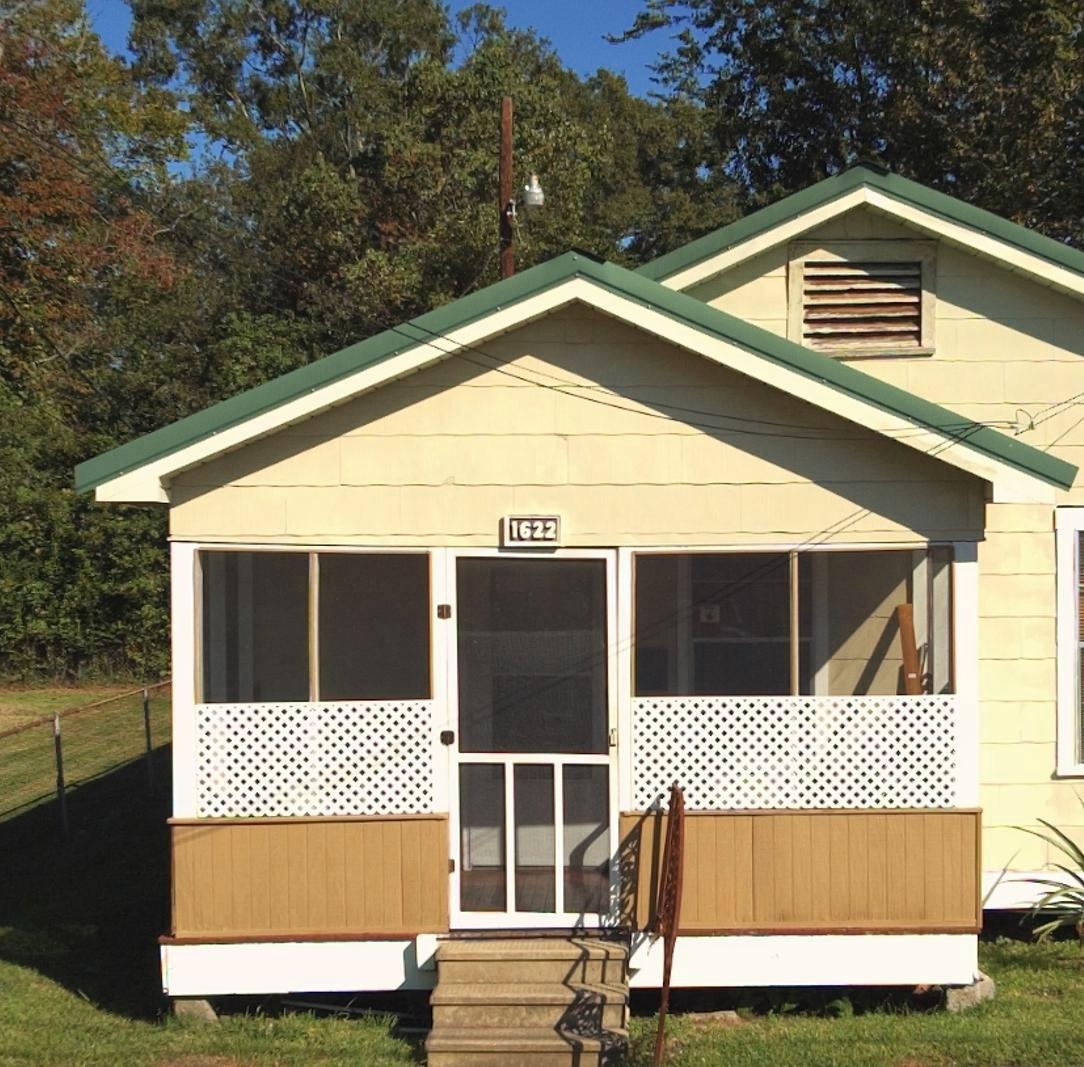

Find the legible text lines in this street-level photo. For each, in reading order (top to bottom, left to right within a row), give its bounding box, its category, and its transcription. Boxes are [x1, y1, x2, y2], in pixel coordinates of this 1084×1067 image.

[510, 519, 556, 540] StreetNumber: 1622